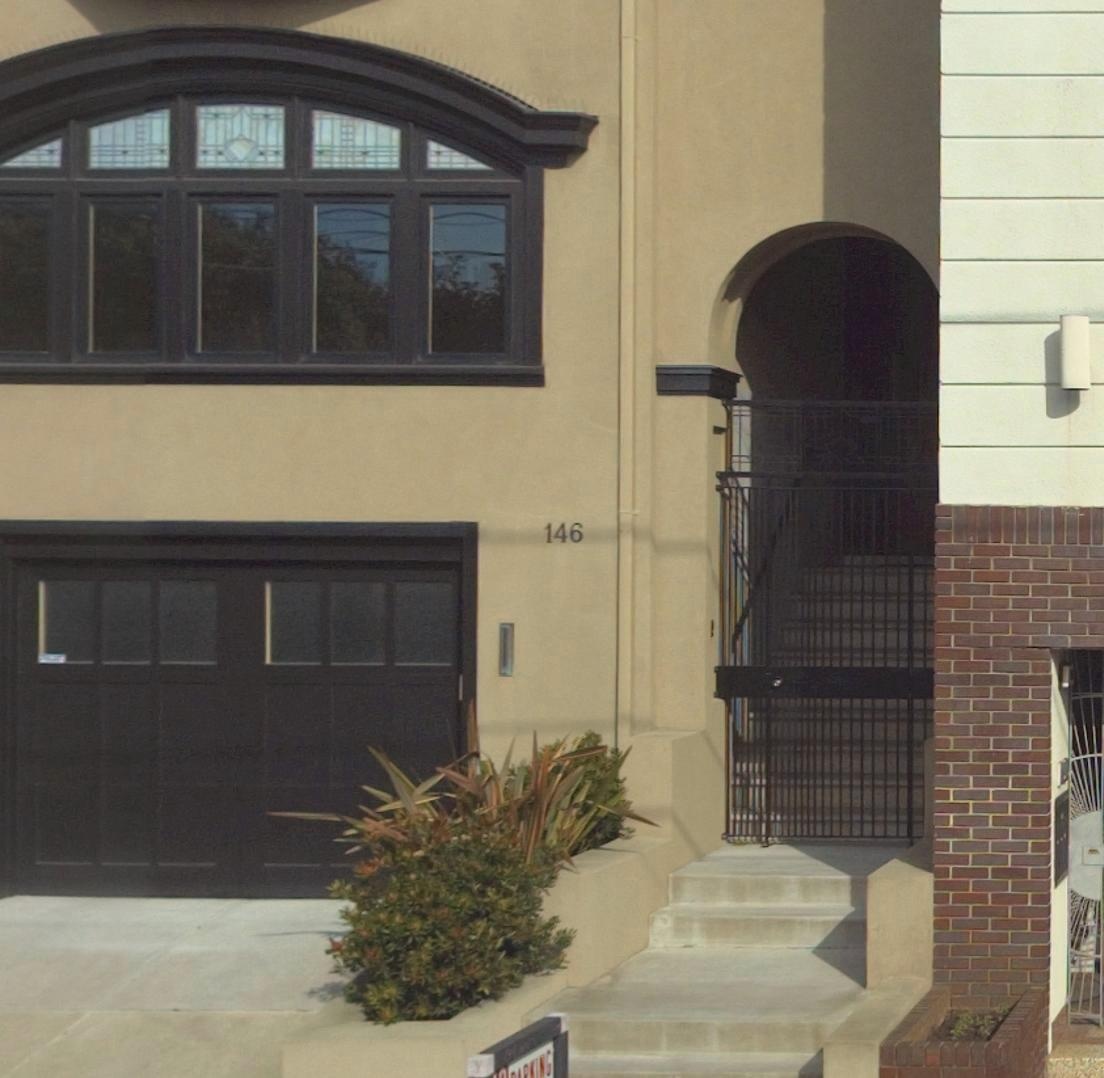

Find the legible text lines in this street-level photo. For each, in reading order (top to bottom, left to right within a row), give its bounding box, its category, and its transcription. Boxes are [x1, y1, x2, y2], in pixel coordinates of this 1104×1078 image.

[543, 522, 583, 544] StreetNumber: 146